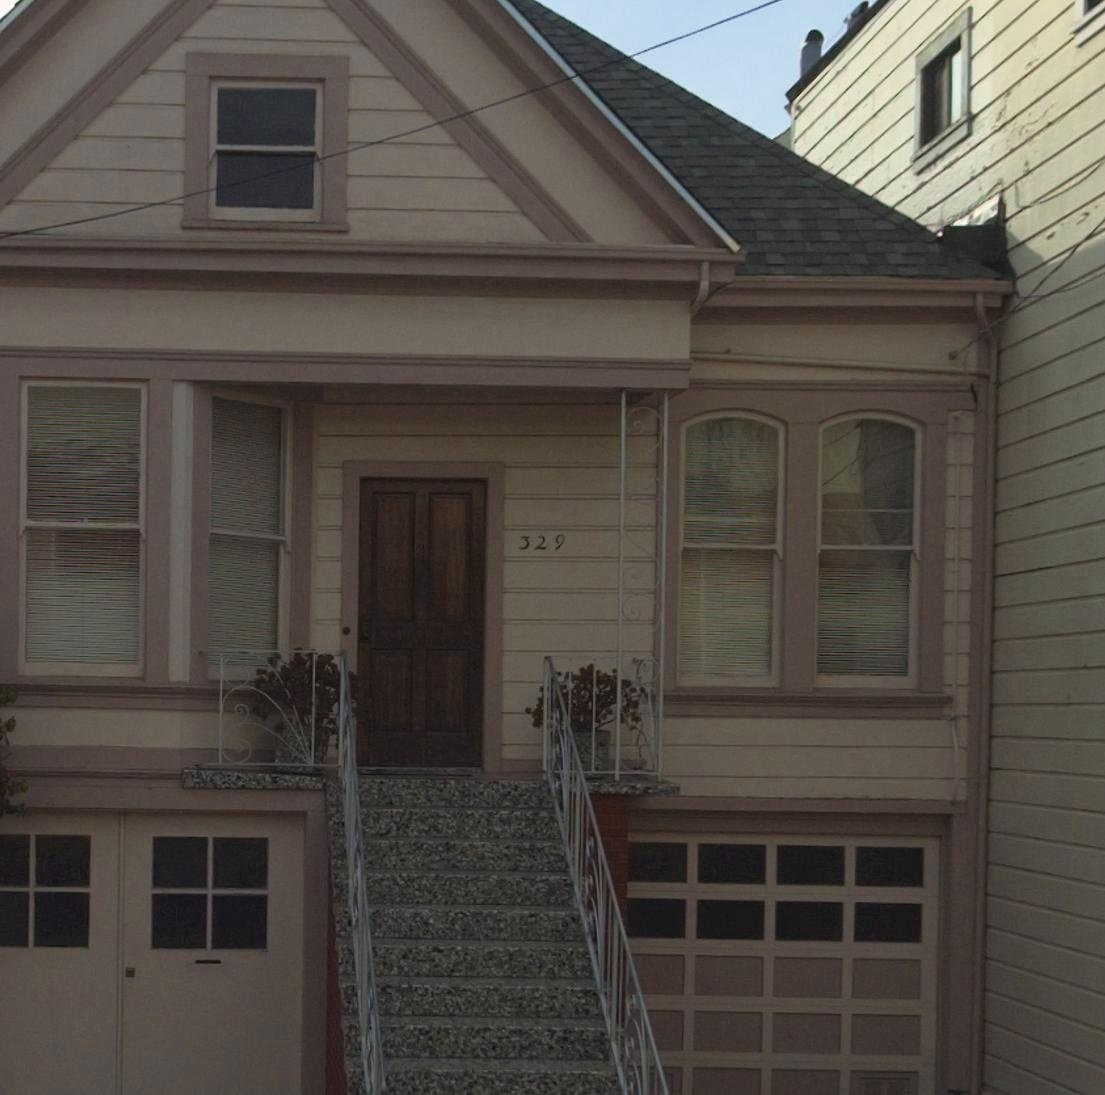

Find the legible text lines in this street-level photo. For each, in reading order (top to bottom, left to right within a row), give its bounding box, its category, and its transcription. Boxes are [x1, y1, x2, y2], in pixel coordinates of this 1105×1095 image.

[517, 533, 566, 552] StreetNumber: 329